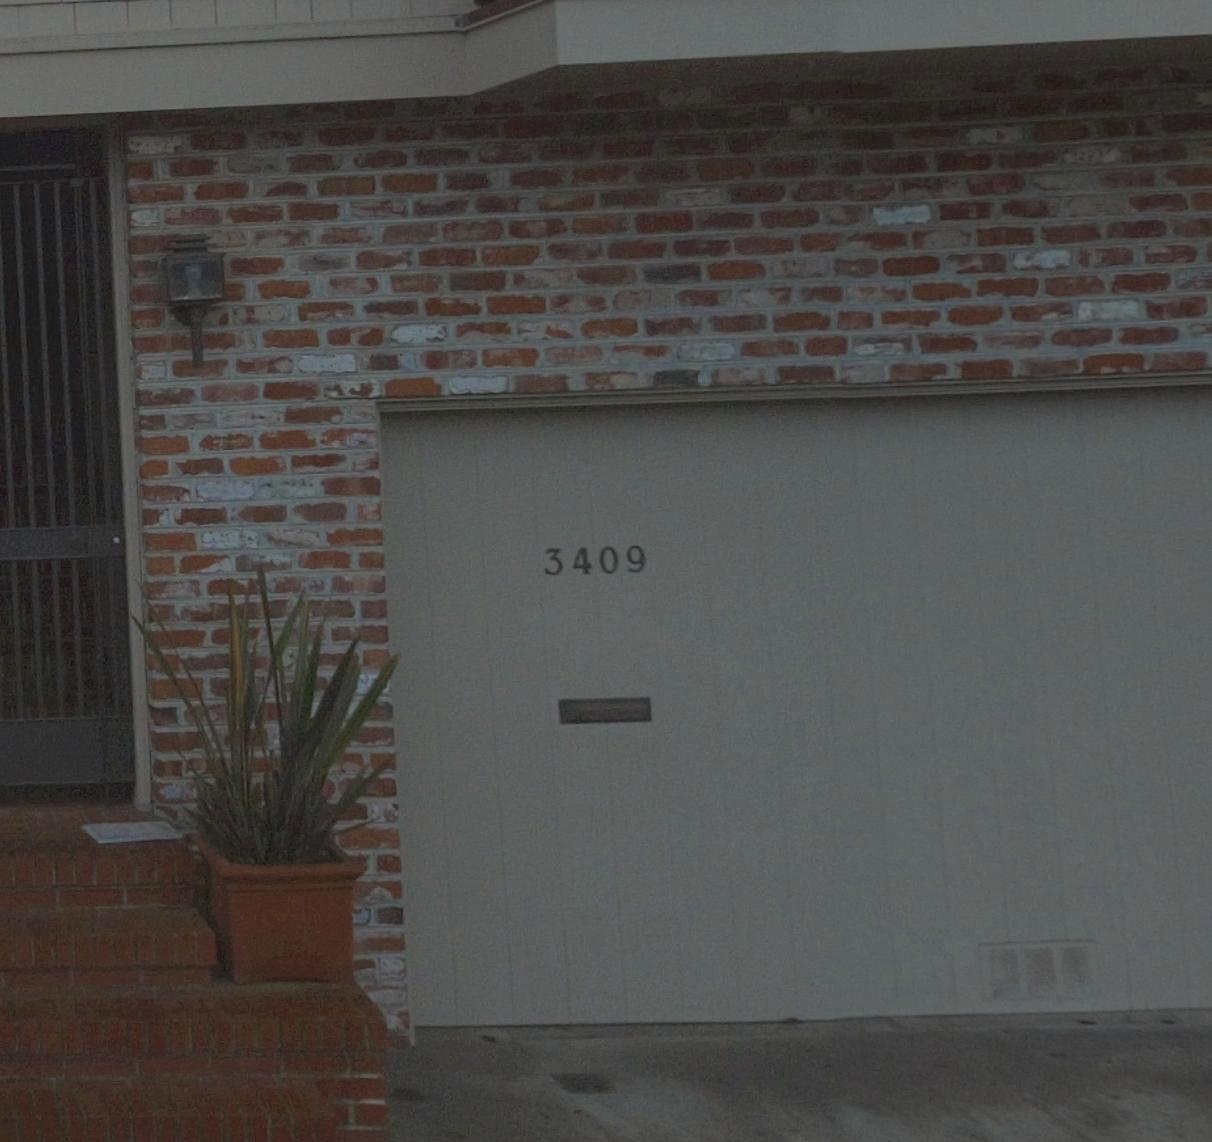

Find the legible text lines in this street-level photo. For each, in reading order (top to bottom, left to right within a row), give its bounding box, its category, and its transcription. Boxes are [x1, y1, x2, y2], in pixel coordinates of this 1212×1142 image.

[541, 541, 650, 580] StreetNumber: 3409